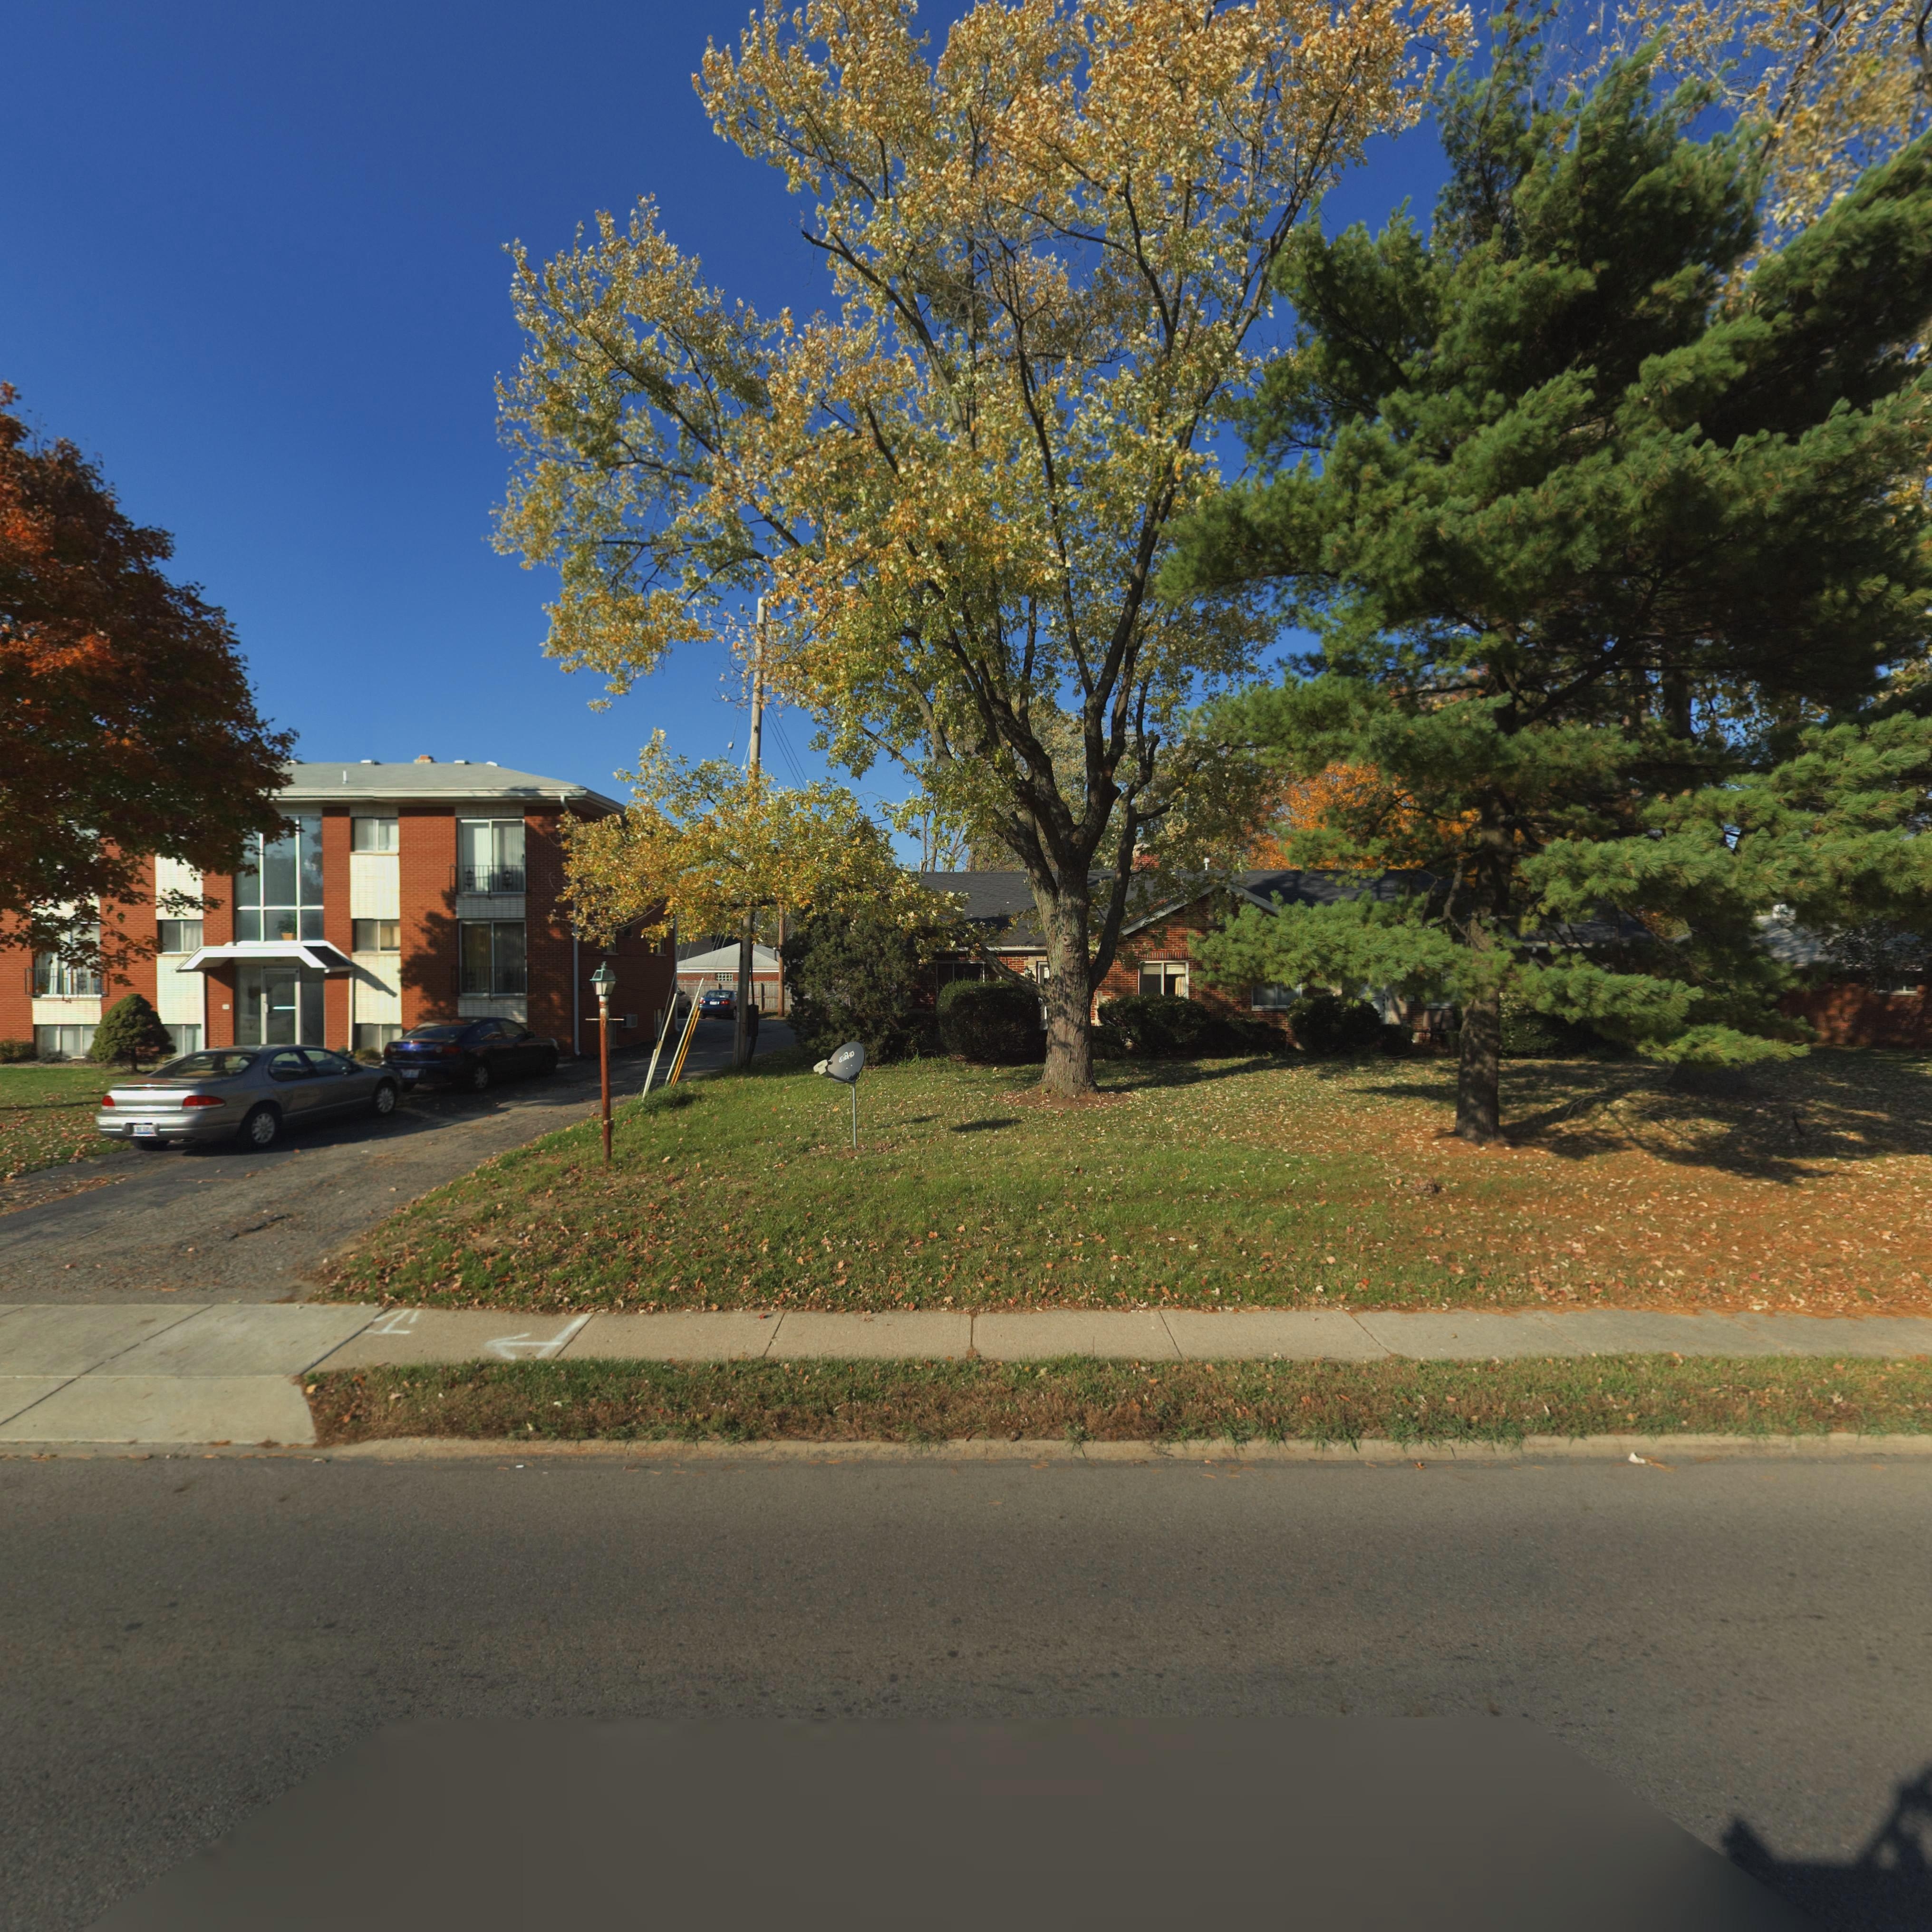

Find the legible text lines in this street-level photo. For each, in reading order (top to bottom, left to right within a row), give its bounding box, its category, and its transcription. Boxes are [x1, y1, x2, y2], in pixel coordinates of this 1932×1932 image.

[1405, 996, 1414, 1001] StreetNumber: **3